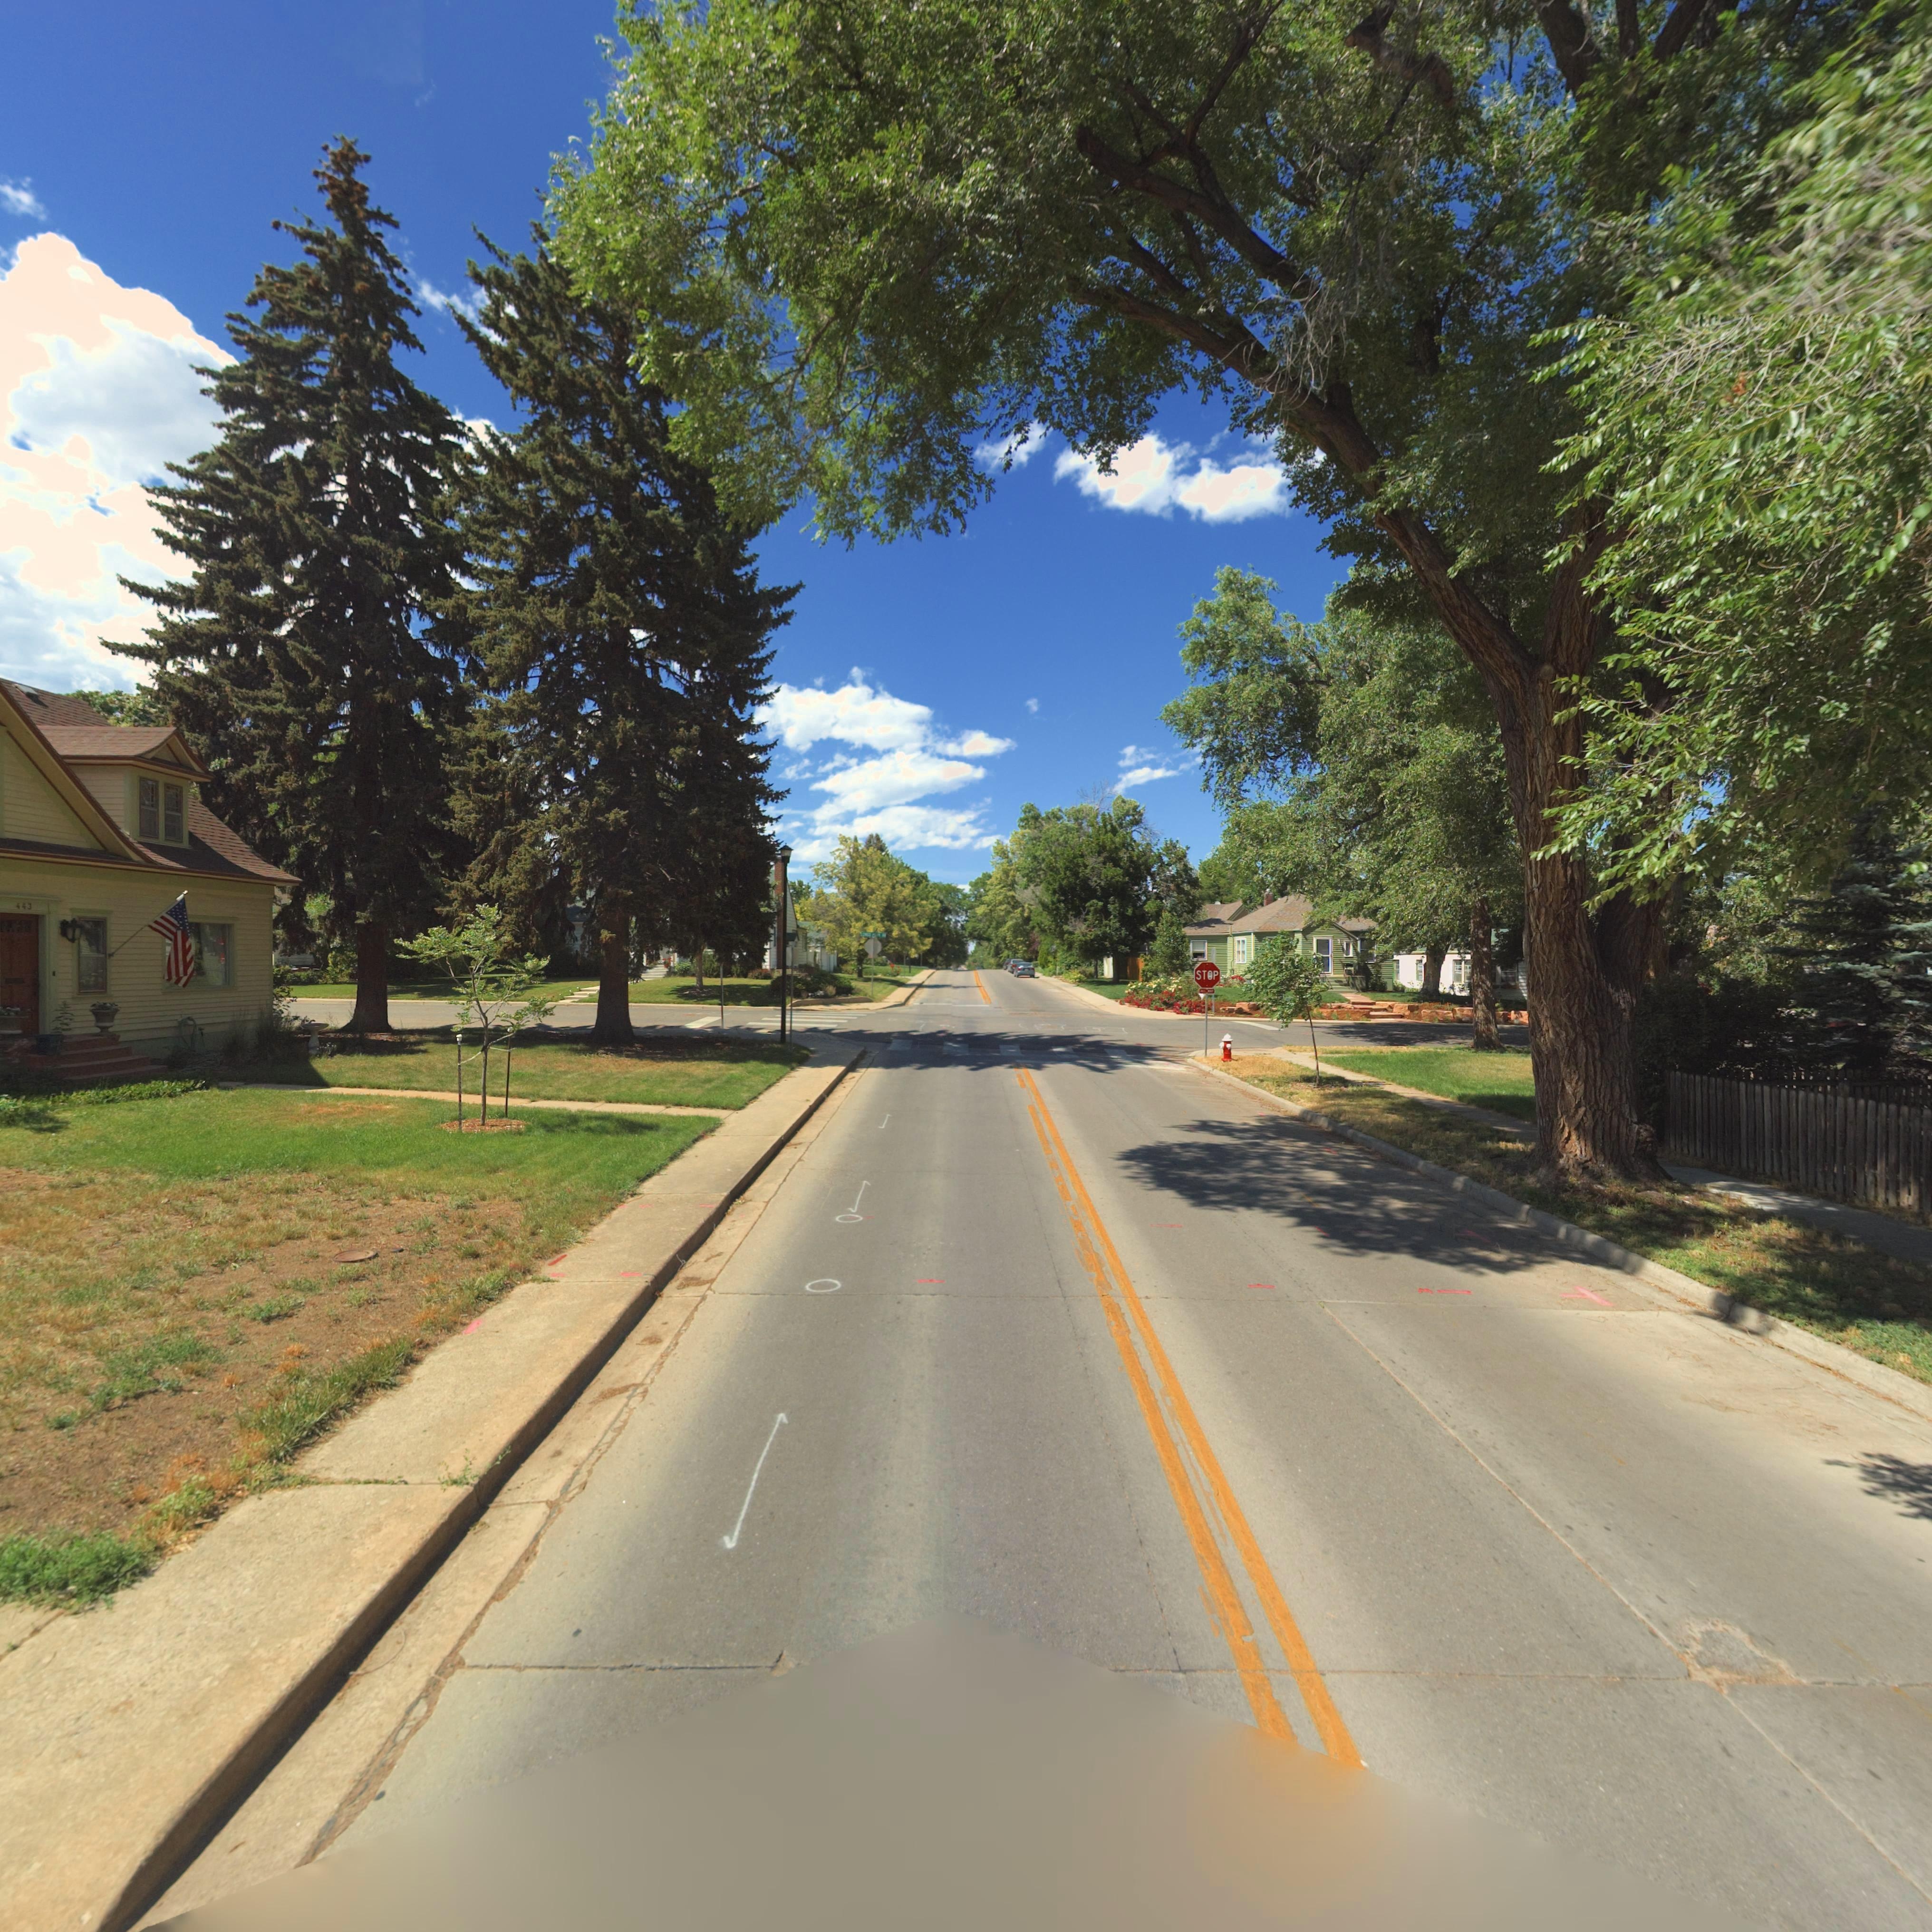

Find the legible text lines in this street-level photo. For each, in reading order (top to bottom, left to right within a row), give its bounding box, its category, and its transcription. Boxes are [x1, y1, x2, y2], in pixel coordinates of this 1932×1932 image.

[15, 902, 32, 910] StreetNumber: 443